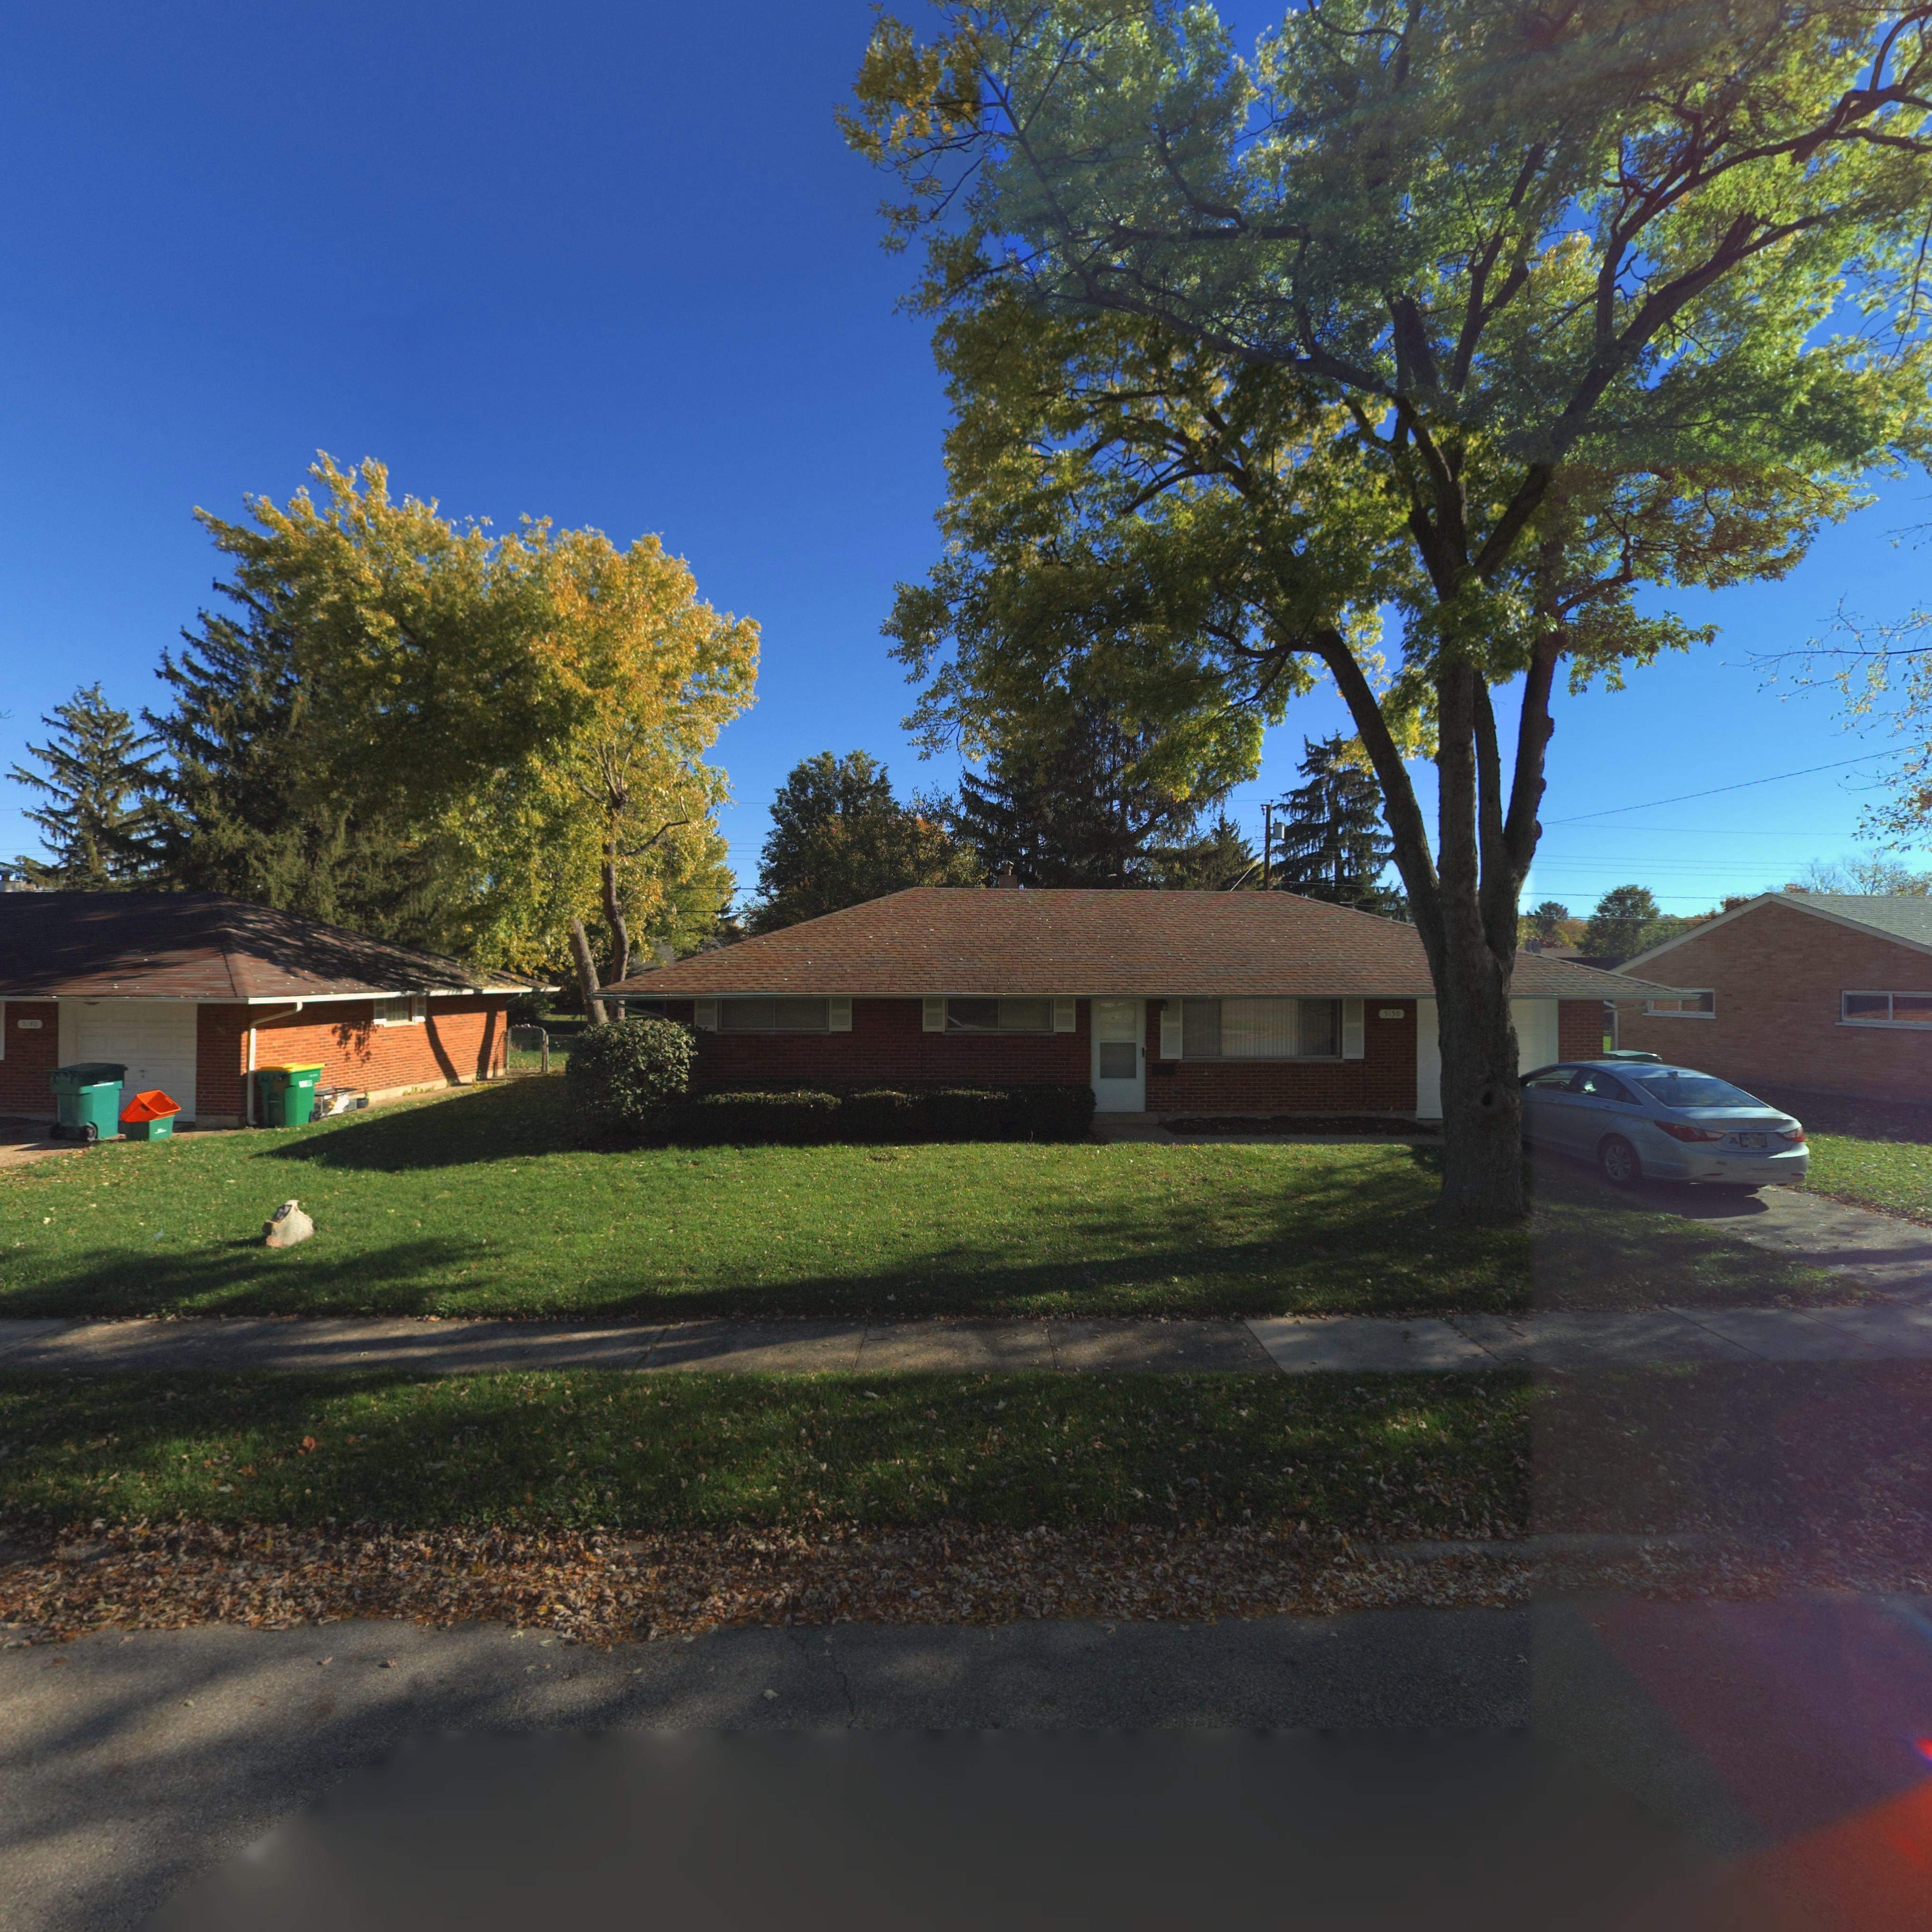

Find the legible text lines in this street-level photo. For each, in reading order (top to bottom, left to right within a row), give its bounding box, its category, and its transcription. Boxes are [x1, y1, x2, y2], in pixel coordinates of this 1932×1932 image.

[1382, 1010, 1401, 1017] StreetNumber: 5150
[20, 1020, 38, 1027] StreetNumber: 5140